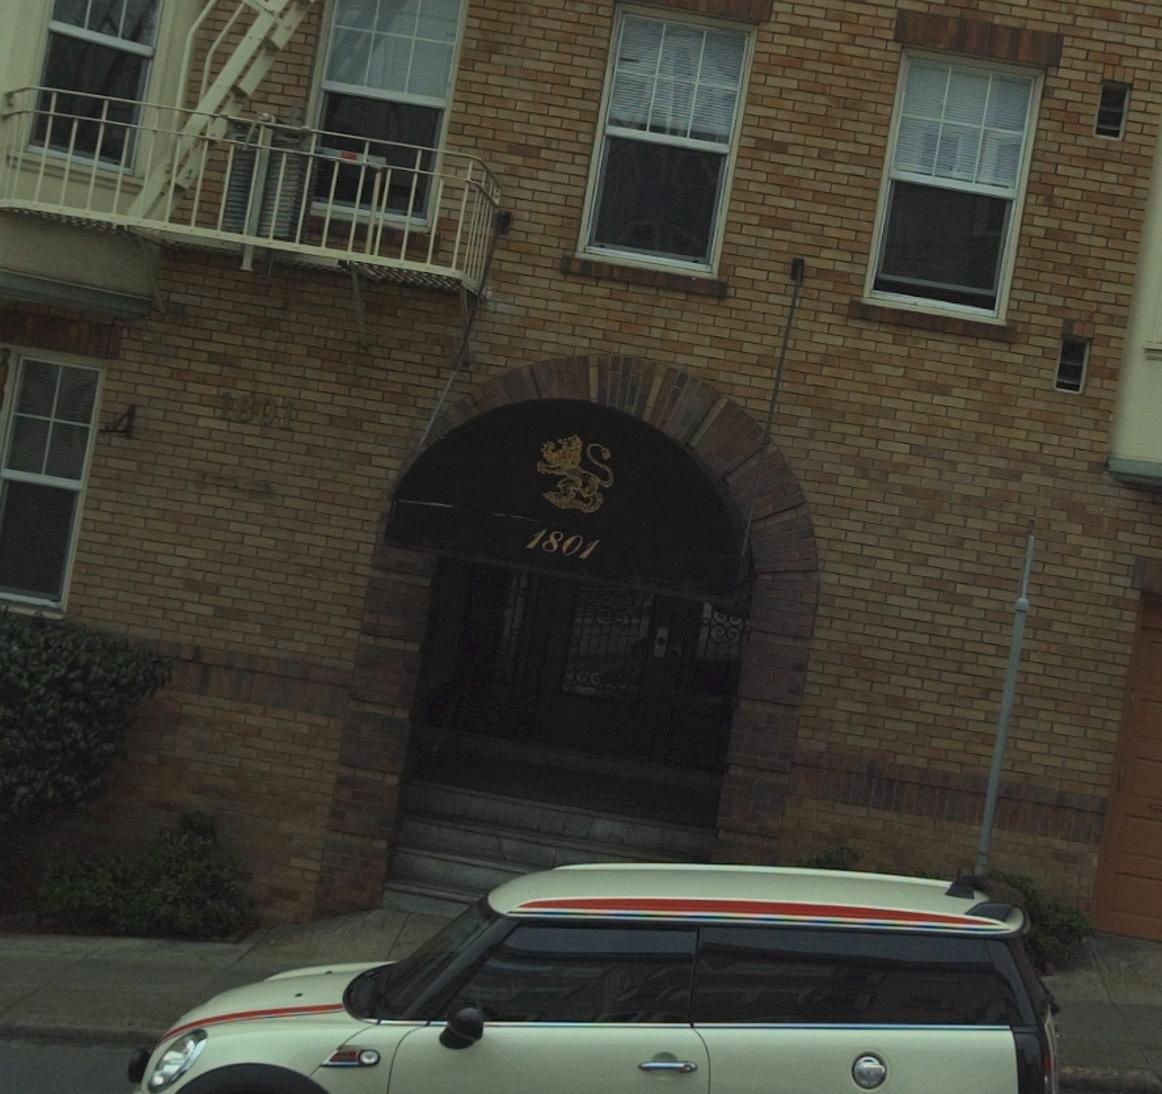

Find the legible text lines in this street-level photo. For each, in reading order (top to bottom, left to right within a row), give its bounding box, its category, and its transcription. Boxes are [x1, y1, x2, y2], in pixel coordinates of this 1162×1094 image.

[522, 525, 604, 561] StreetNumber: 1801